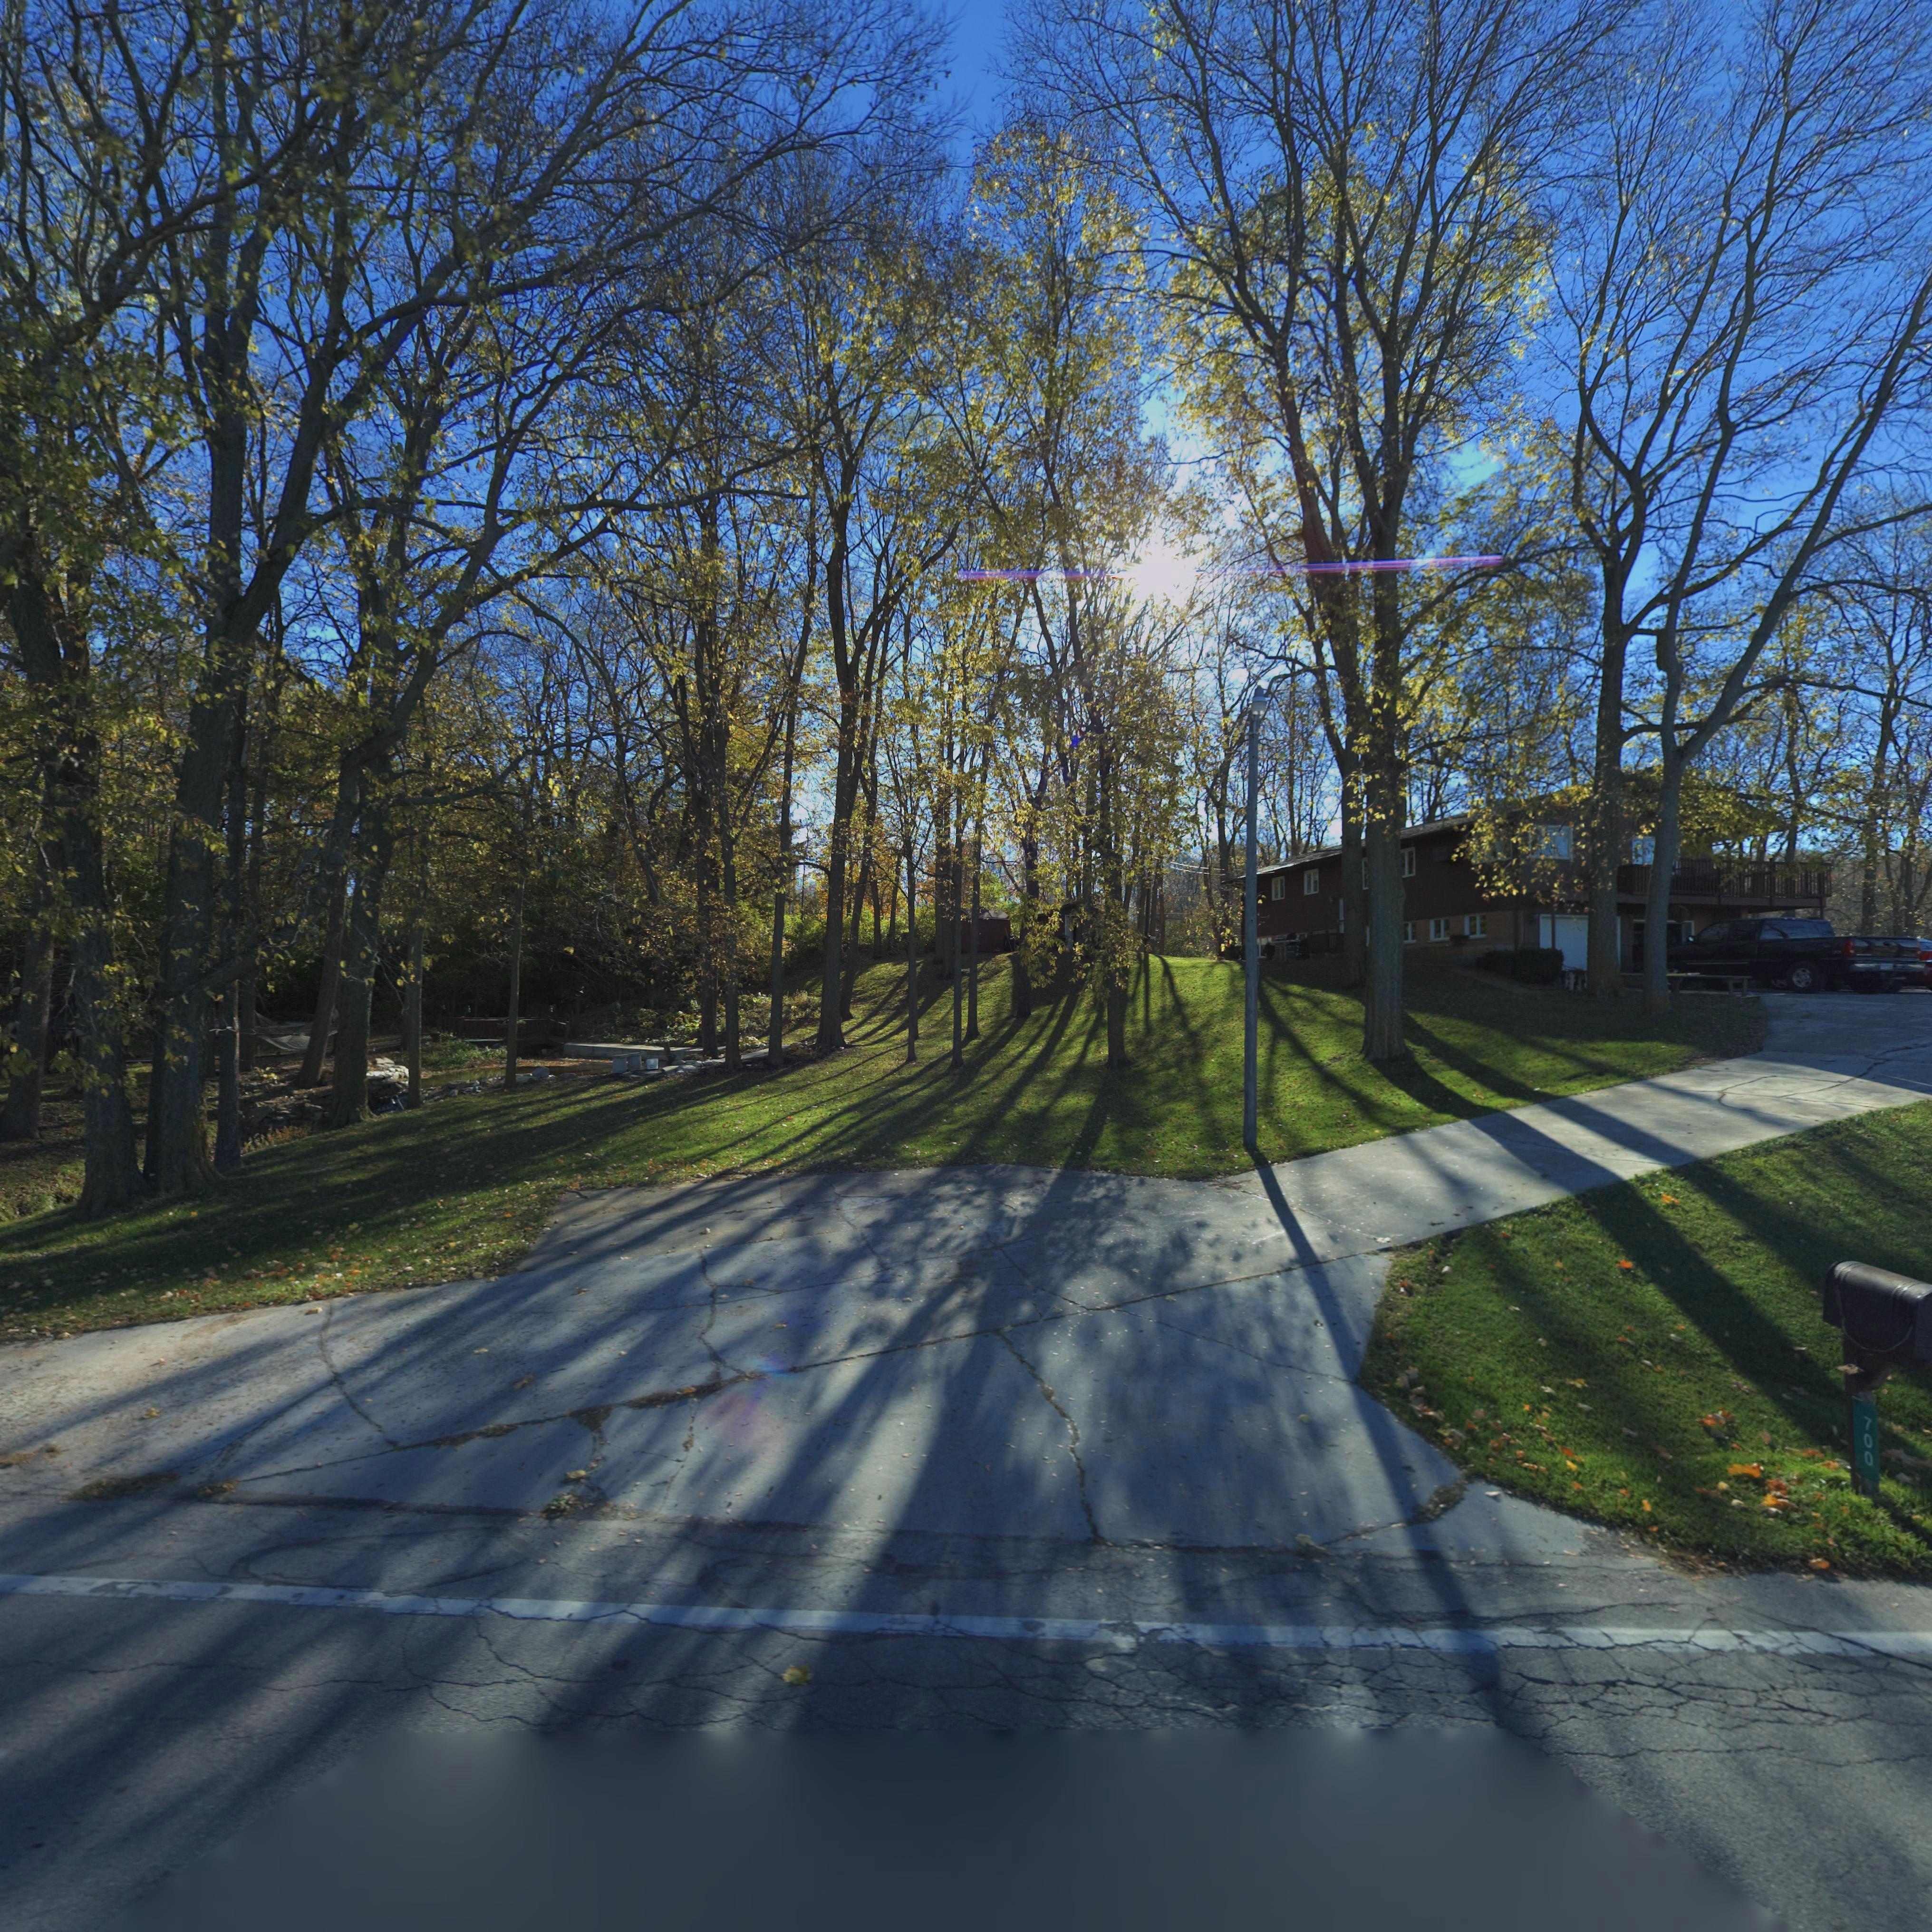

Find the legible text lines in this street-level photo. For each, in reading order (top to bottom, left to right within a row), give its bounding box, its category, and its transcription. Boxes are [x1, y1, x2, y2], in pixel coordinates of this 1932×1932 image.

[1862, 1414, 1874, 1468] StreetNumber: 700